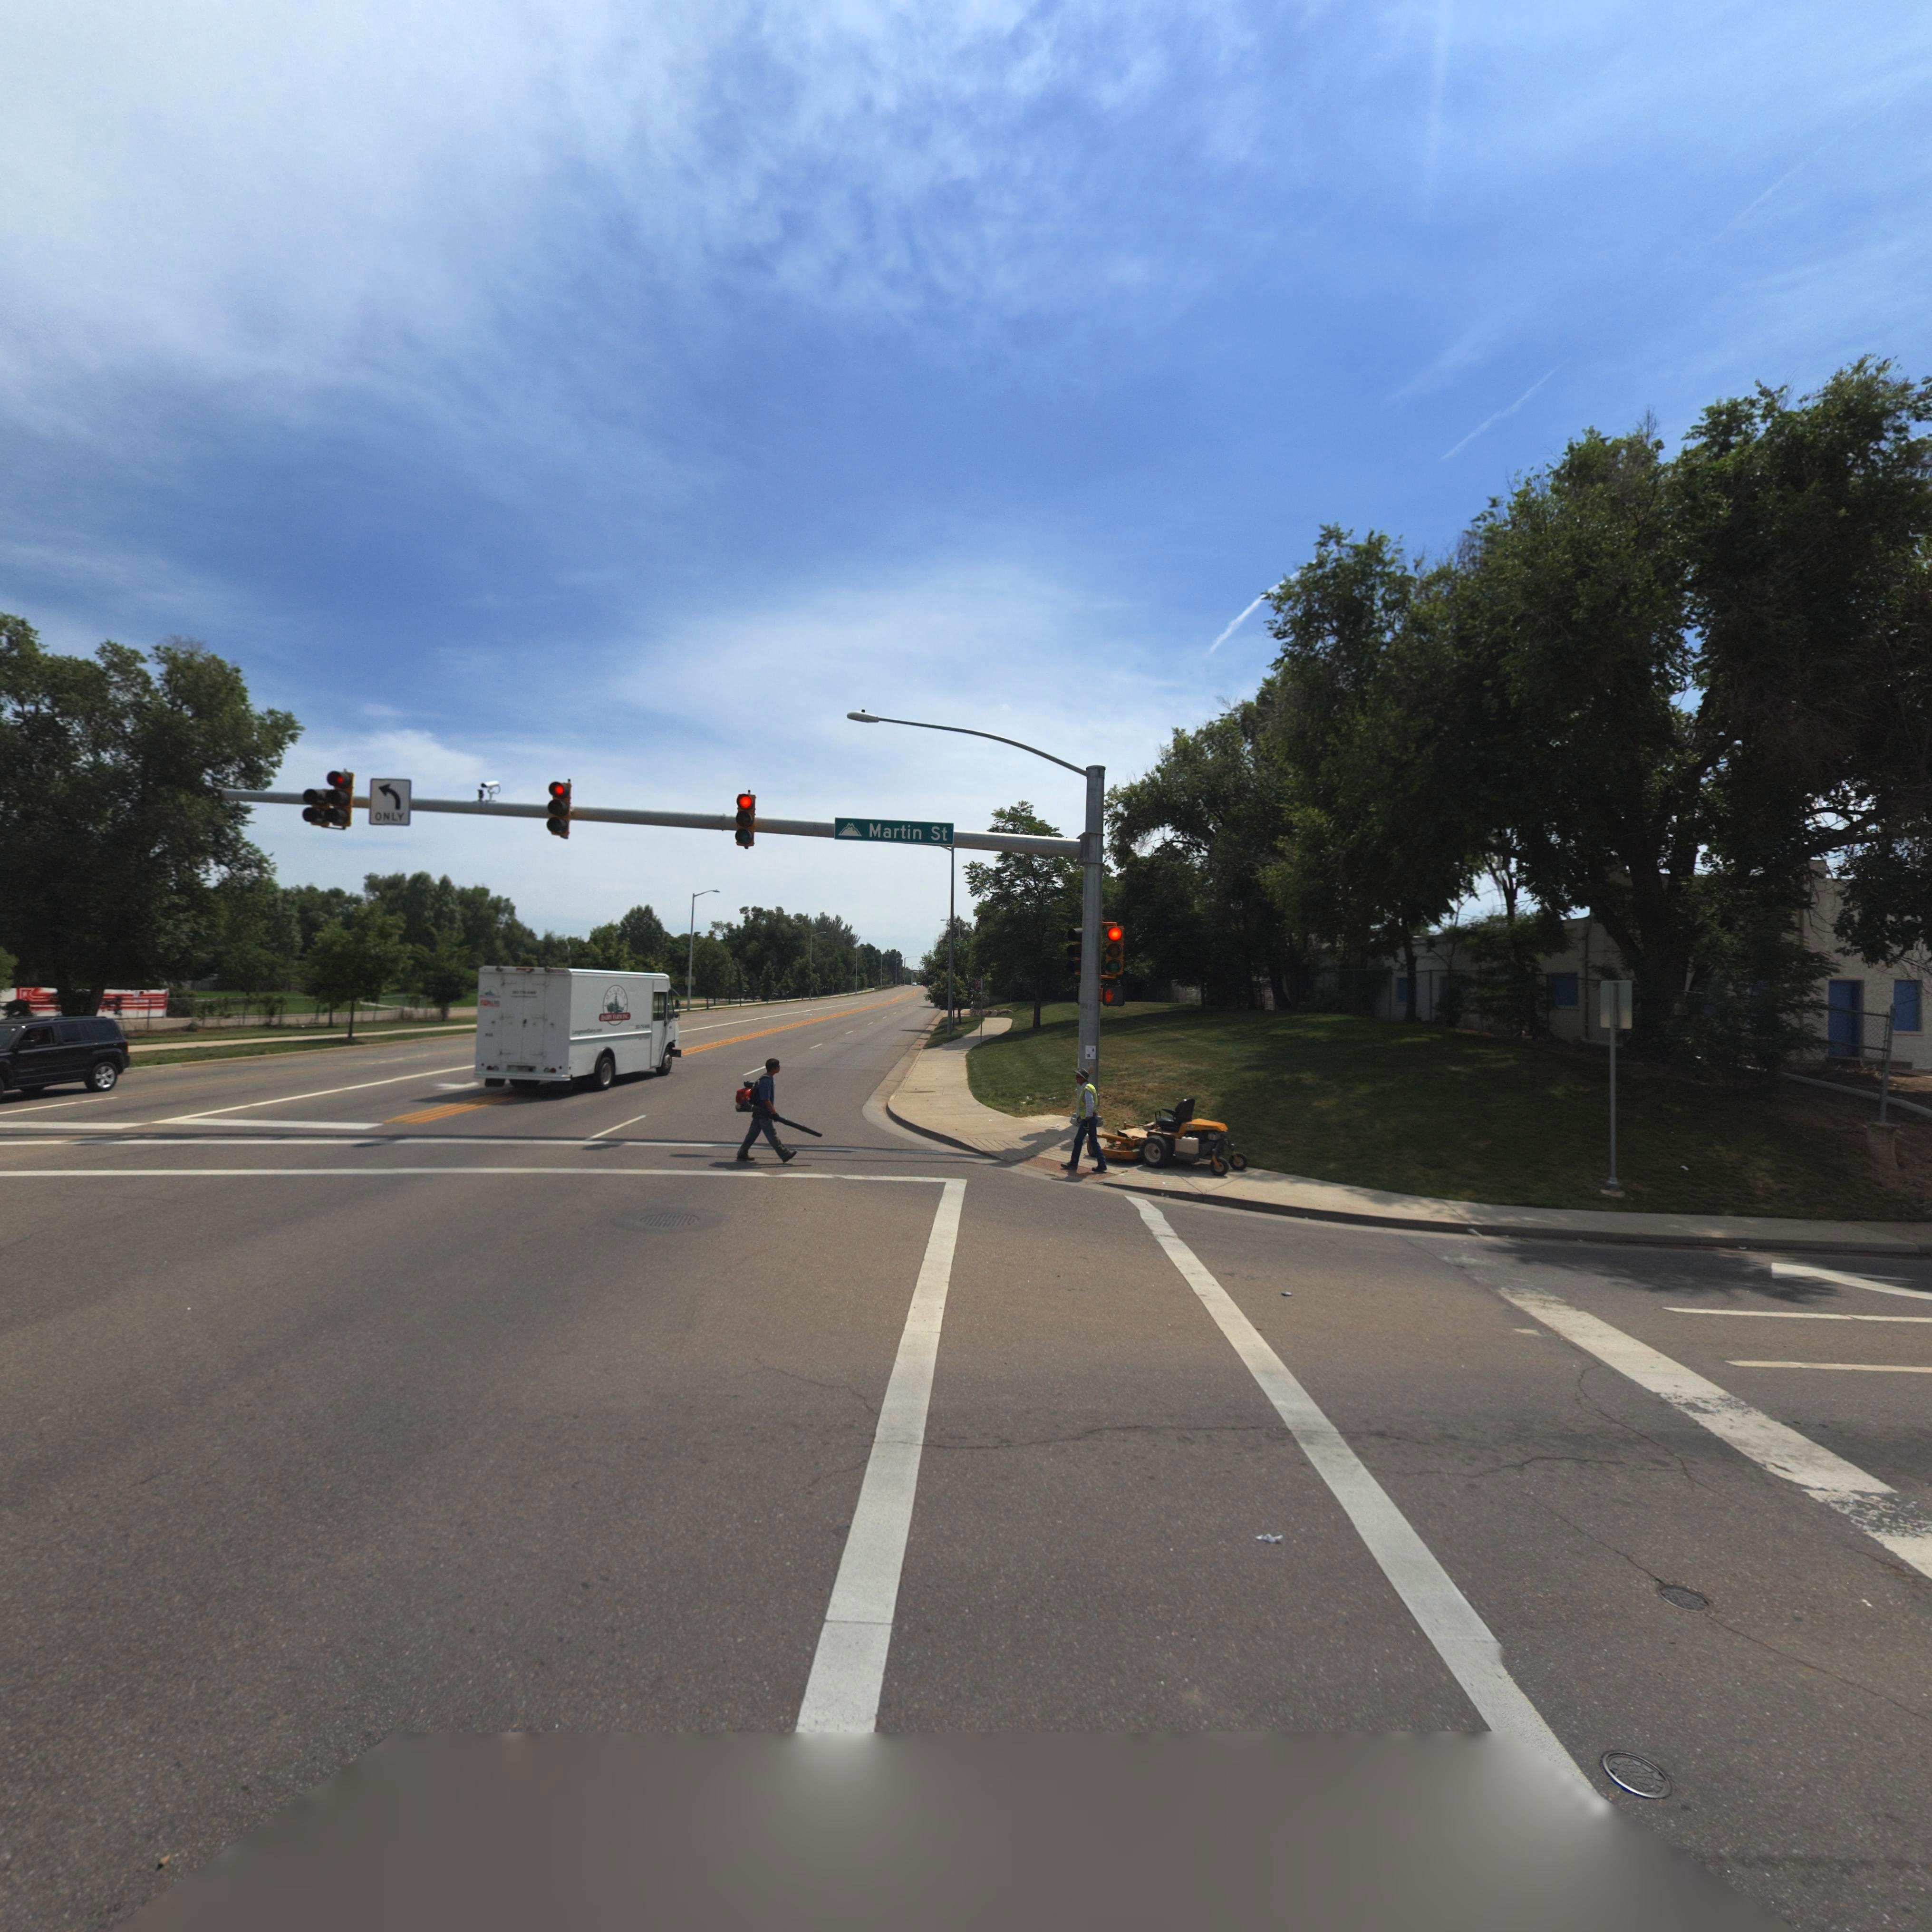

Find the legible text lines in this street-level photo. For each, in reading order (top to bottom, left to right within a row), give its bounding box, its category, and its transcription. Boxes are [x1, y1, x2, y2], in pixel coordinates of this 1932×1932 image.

[869, 822, 948, 841] StreetName: Martin St